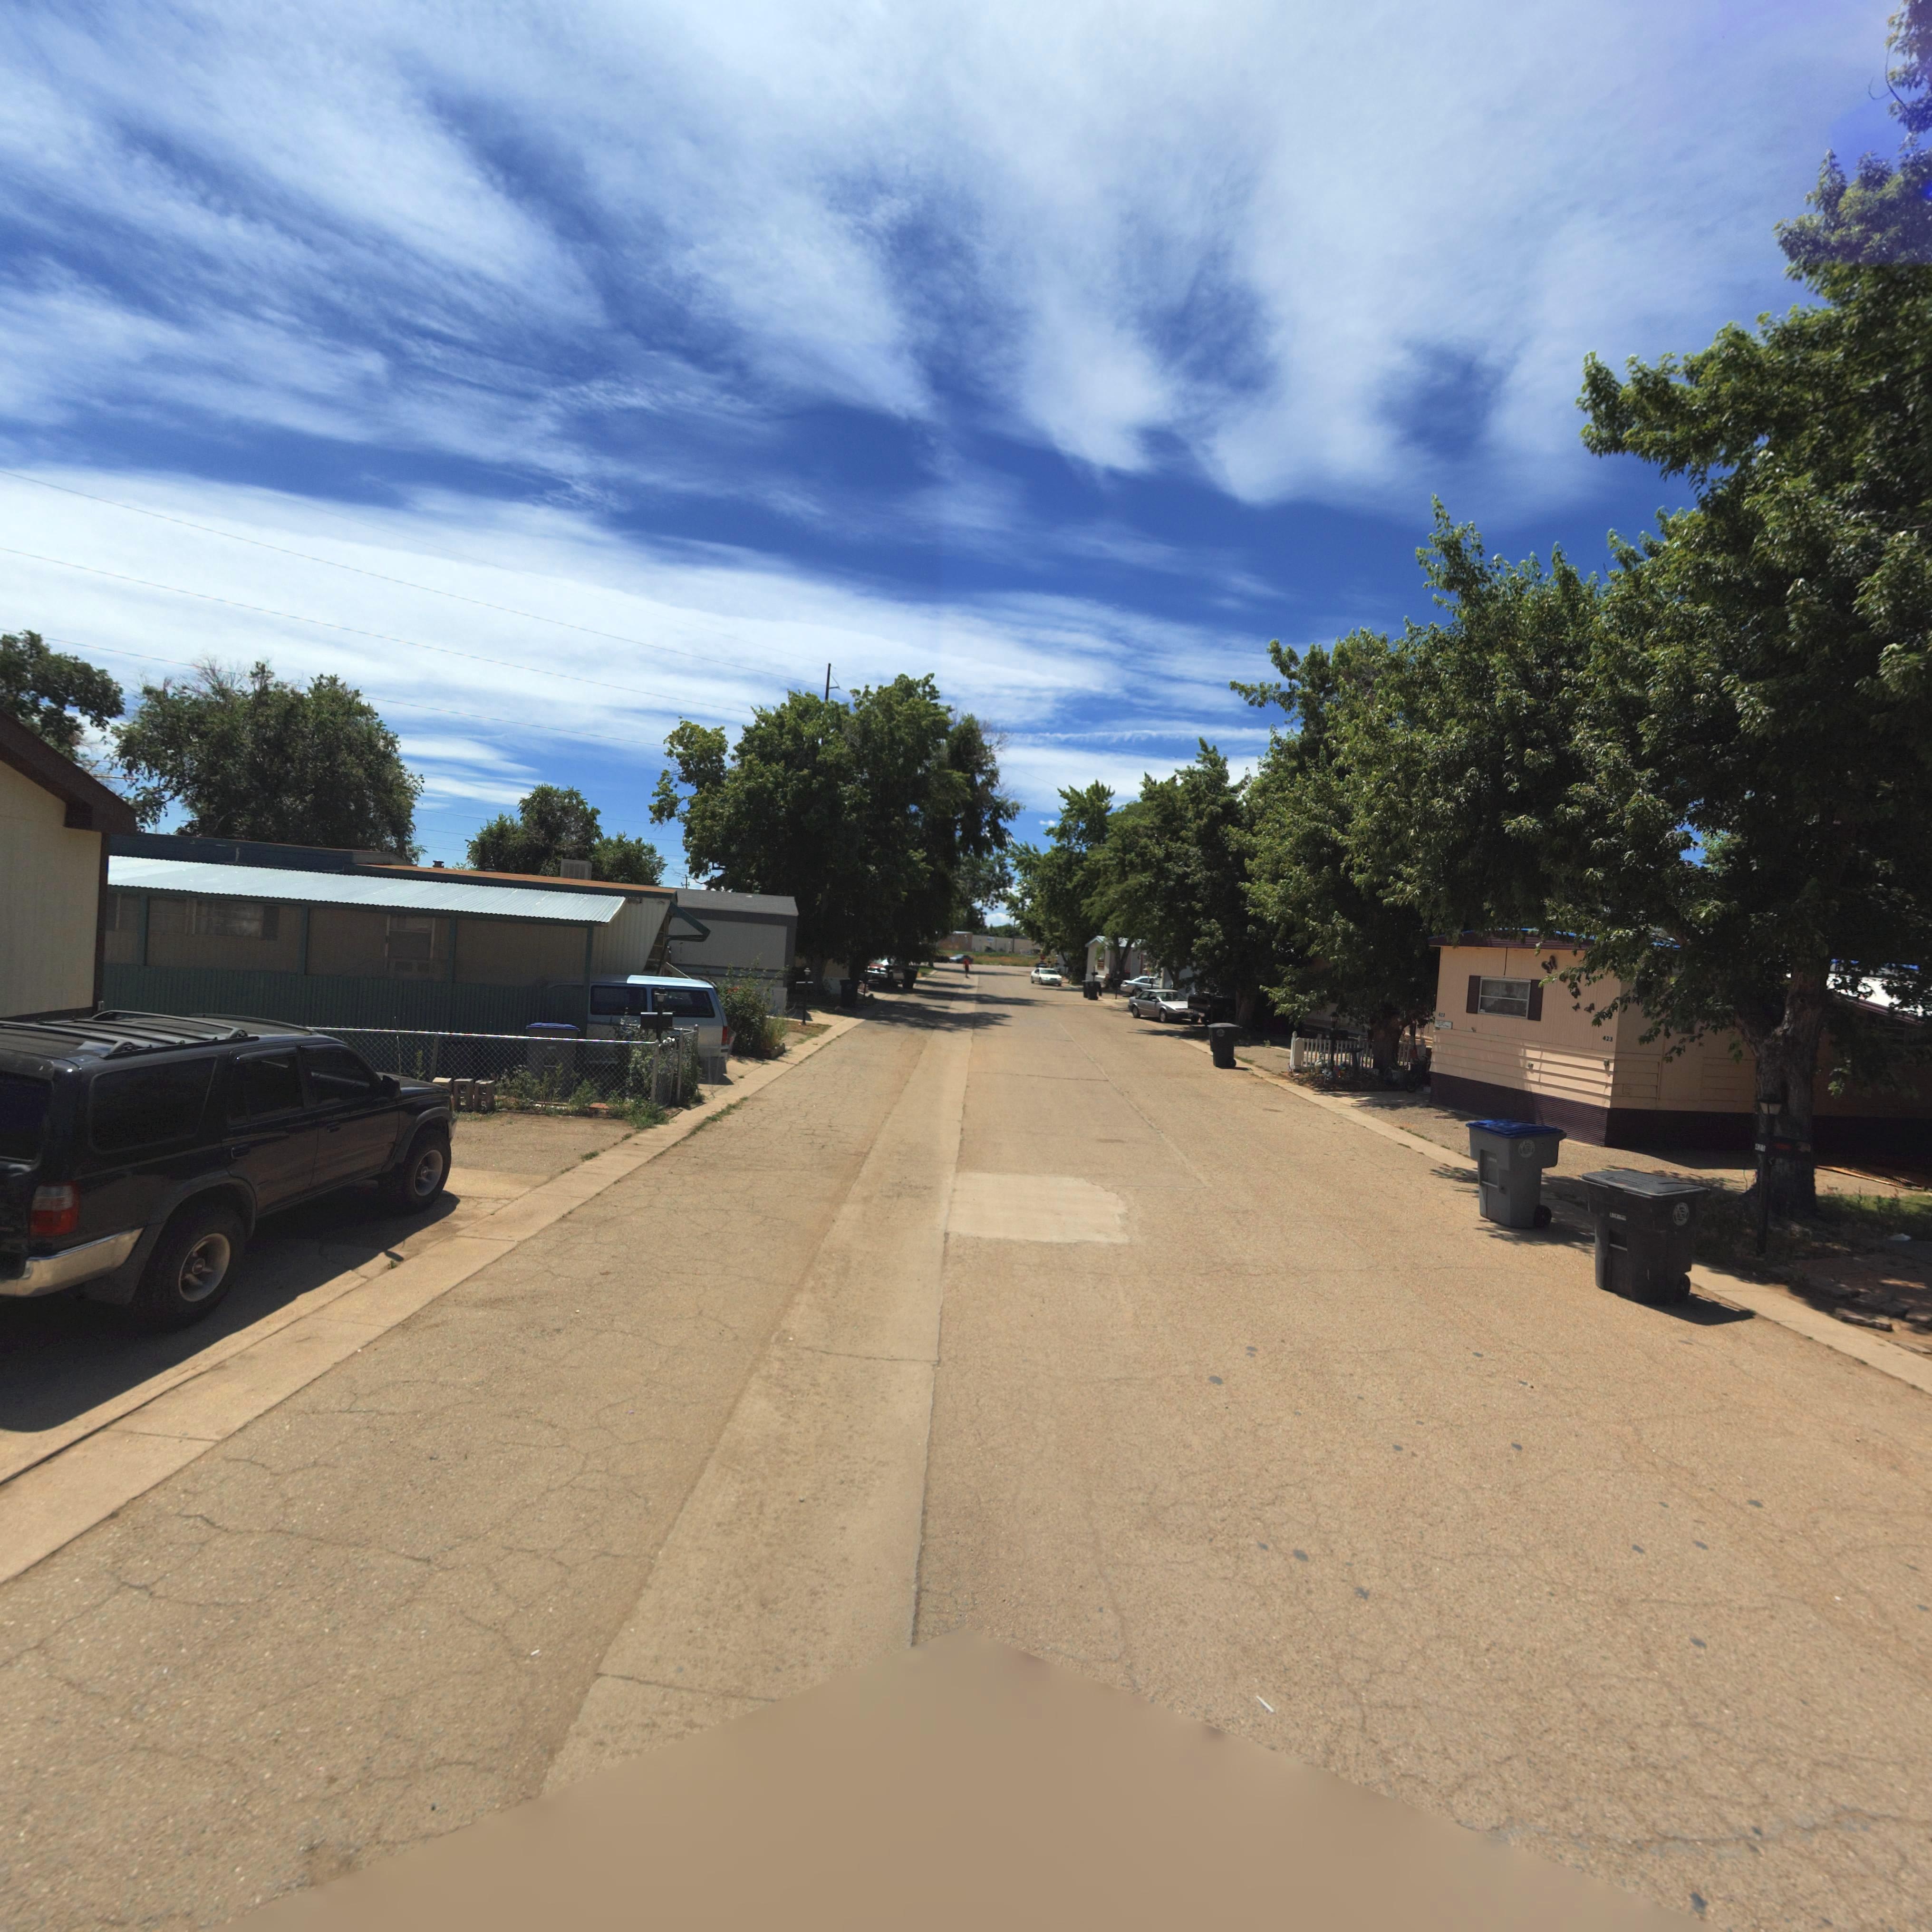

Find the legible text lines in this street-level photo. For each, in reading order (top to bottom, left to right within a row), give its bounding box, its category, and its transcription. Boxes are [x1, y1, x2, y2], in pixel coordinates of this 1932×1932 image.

[1438, 1012, 1445, 1017] StreetNumber: *2*
[1602, 1035, 1613, 1042] StreetNumber: 423